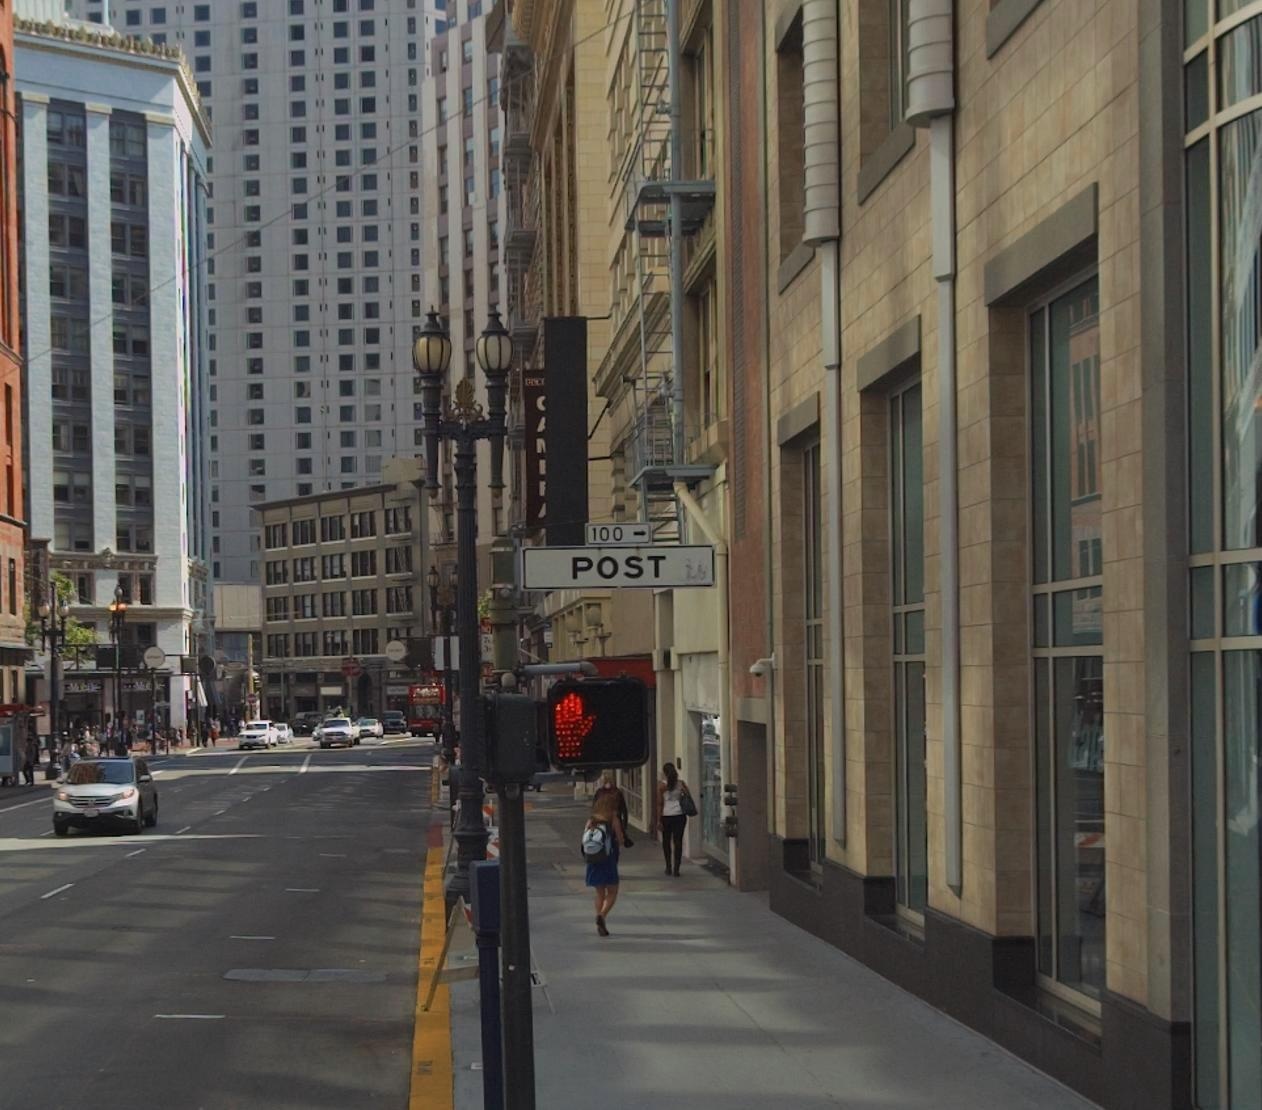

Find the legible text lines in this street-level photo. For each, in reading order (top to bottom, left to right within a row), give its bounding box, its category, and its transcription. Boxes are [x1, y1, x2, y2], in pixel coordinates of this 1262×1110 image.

[589, 524, 650, 544] StreetNumberRange: 100->
[569, 553, 669, 583] StreetName: POST